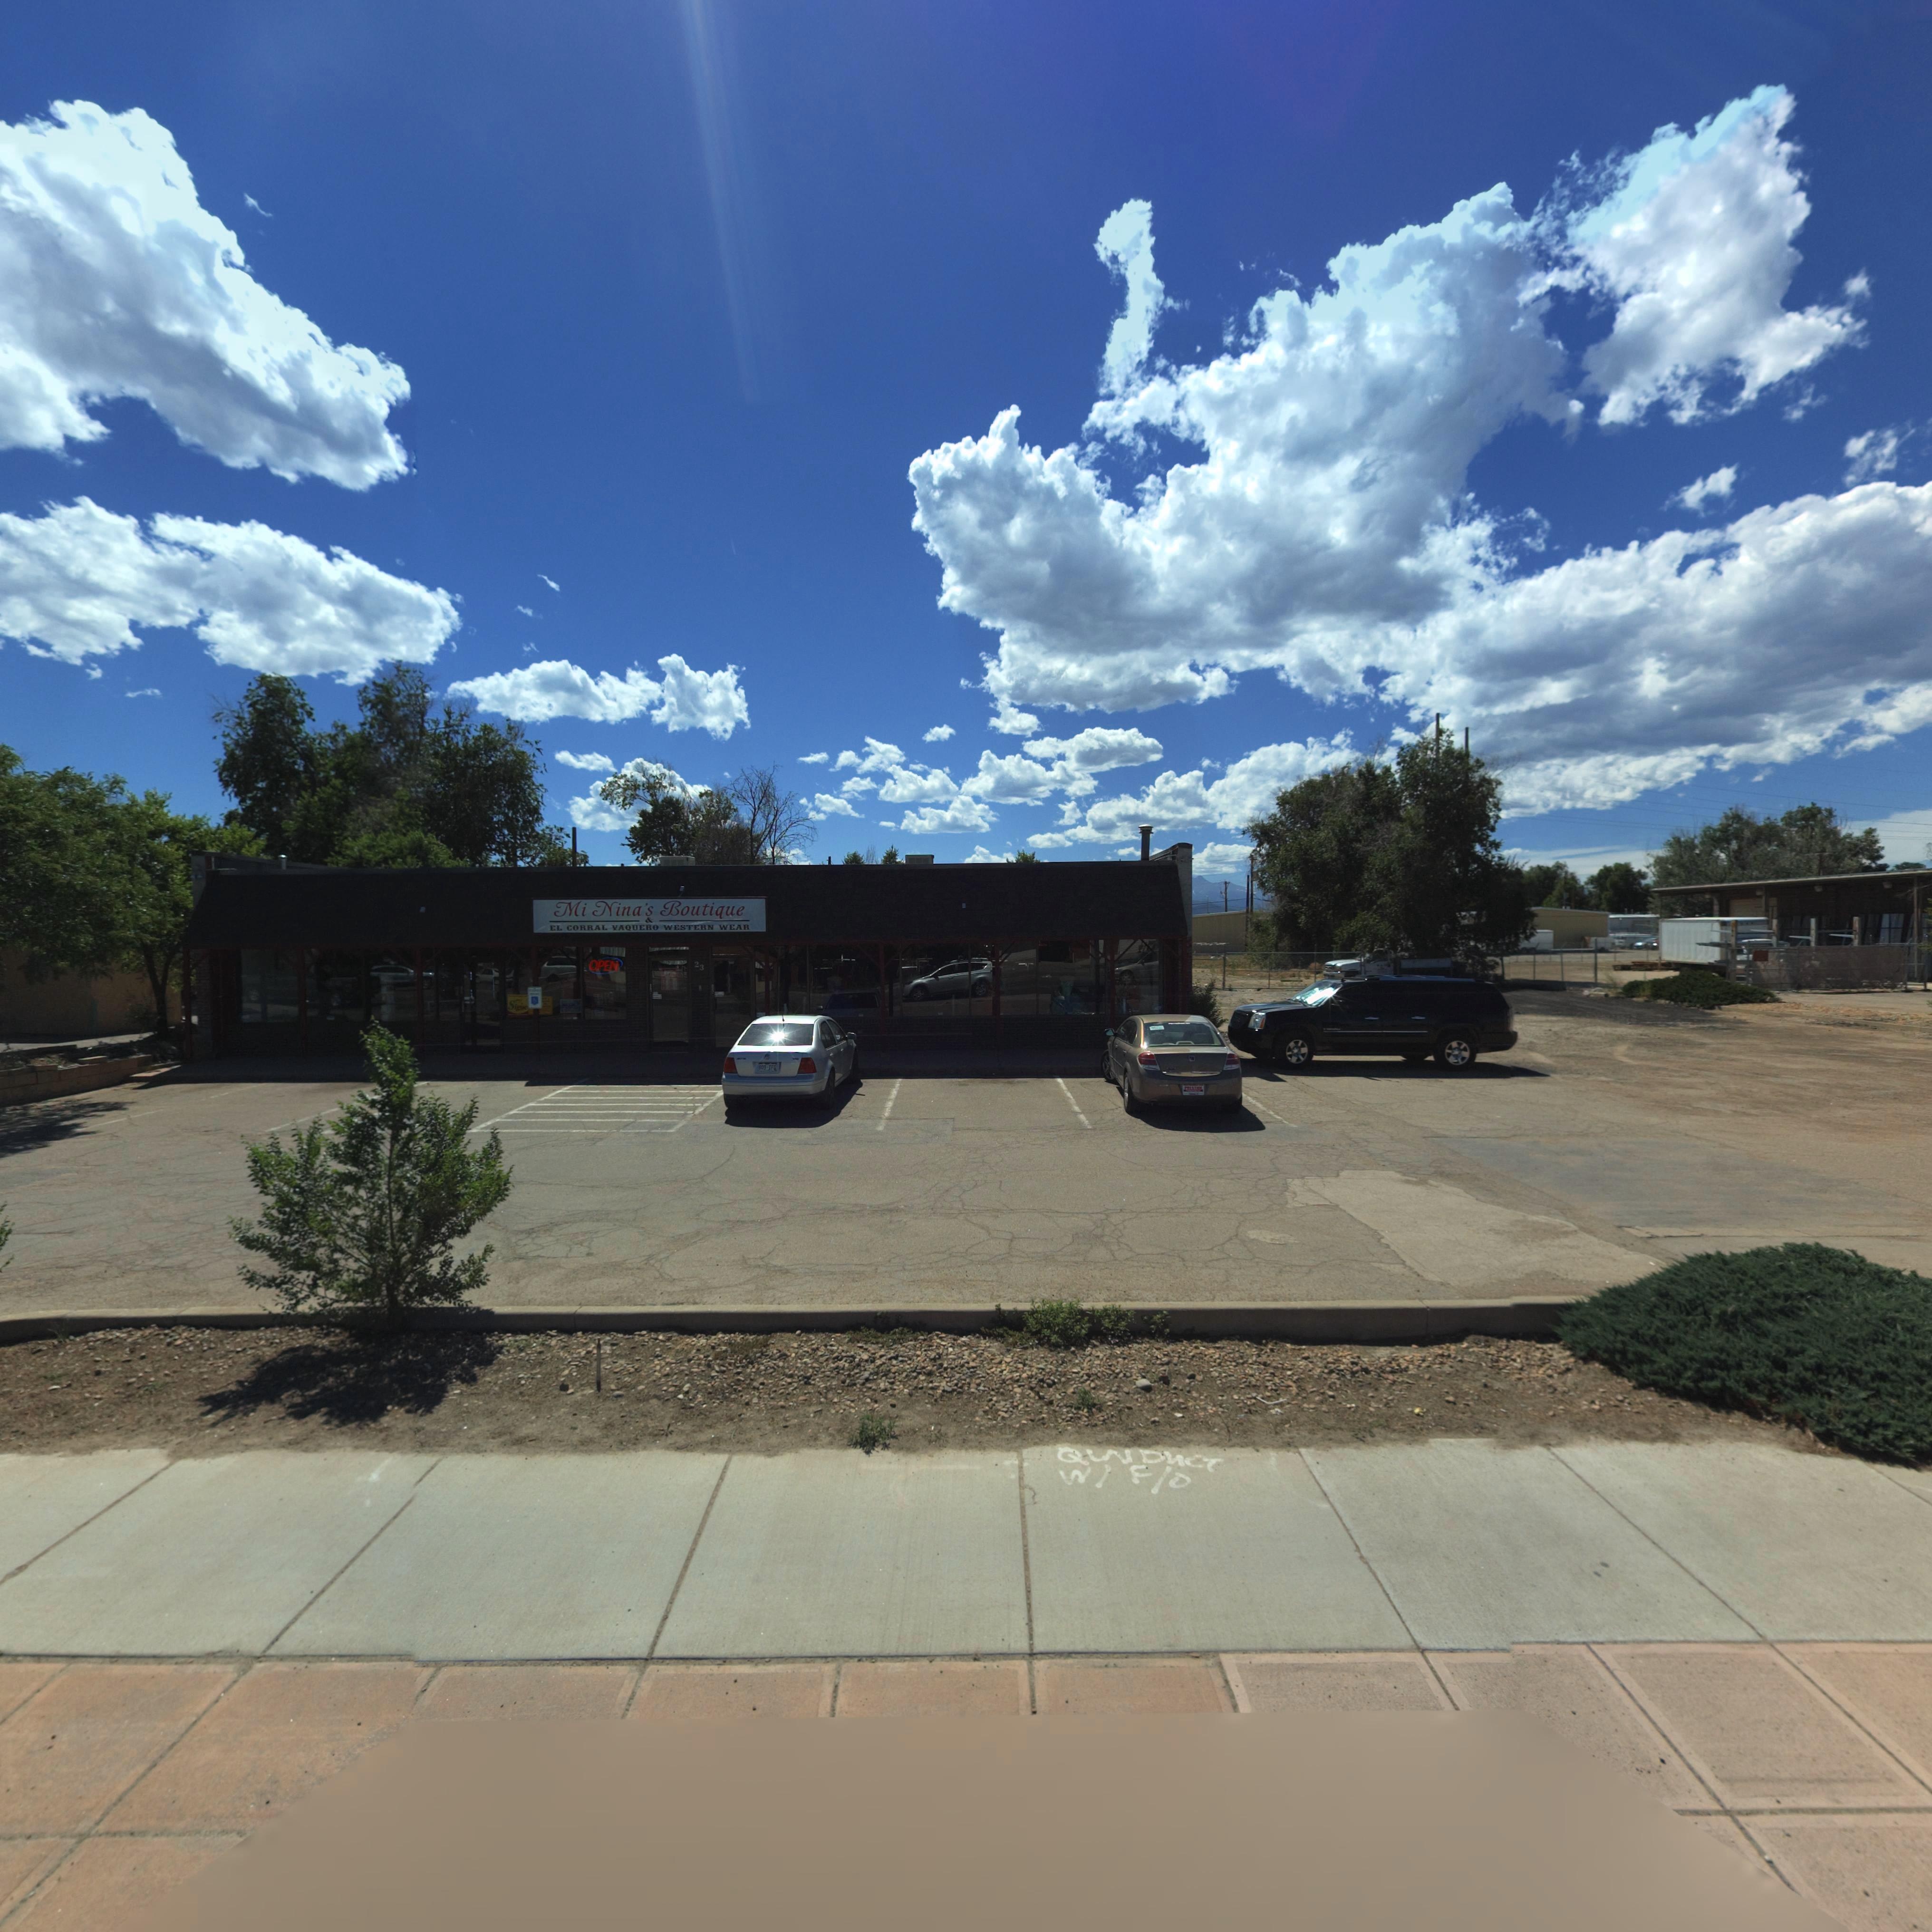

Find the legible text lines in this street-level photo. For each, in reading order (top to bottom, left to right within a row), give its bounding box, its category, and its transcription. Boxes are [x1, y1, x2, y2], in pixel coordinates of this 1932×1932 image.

[548, 923, 750, 931] BusinessName: EL CORRAL VAQUERO WESTERN WEAR
[694, 960, 704, 971] StreetNumber: 23